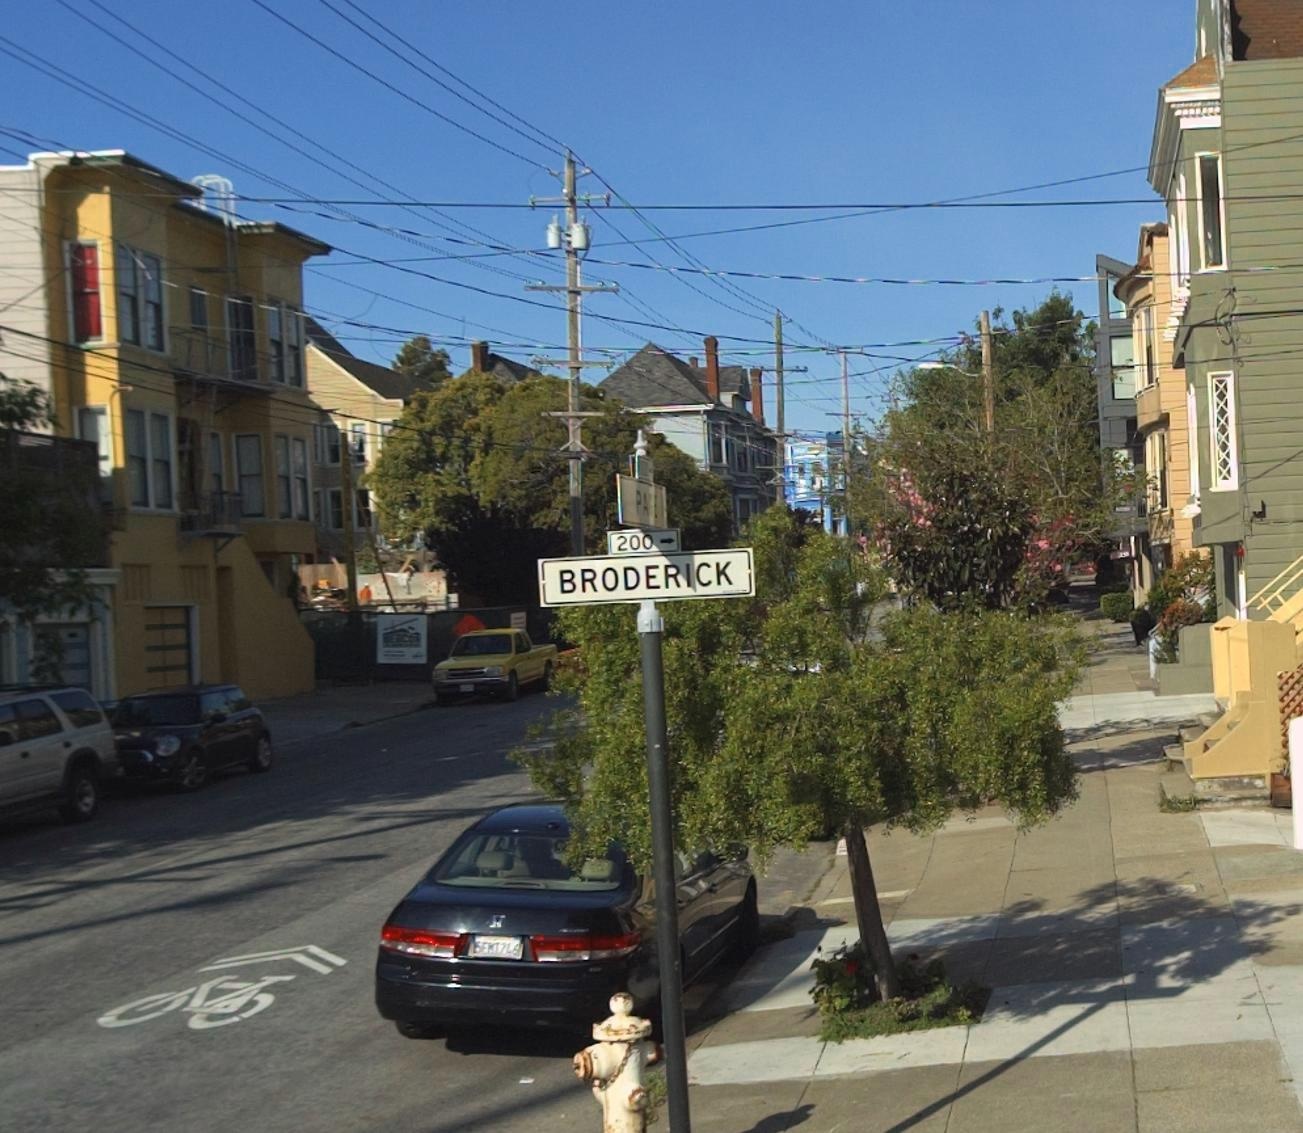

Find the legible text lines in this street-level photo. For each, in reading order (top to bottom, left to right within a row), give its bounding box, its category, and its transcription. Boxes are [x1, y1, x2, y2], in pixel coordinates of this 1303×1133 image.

[629, 484, 662, 522] StreetName: PA*E
[614, 530, 678, 553] StreetNumberRange: 200->
[556, 558, 734, 595] StreetName: BRODERICK
[471, 938, 521, 956] None: 5FMT7*6